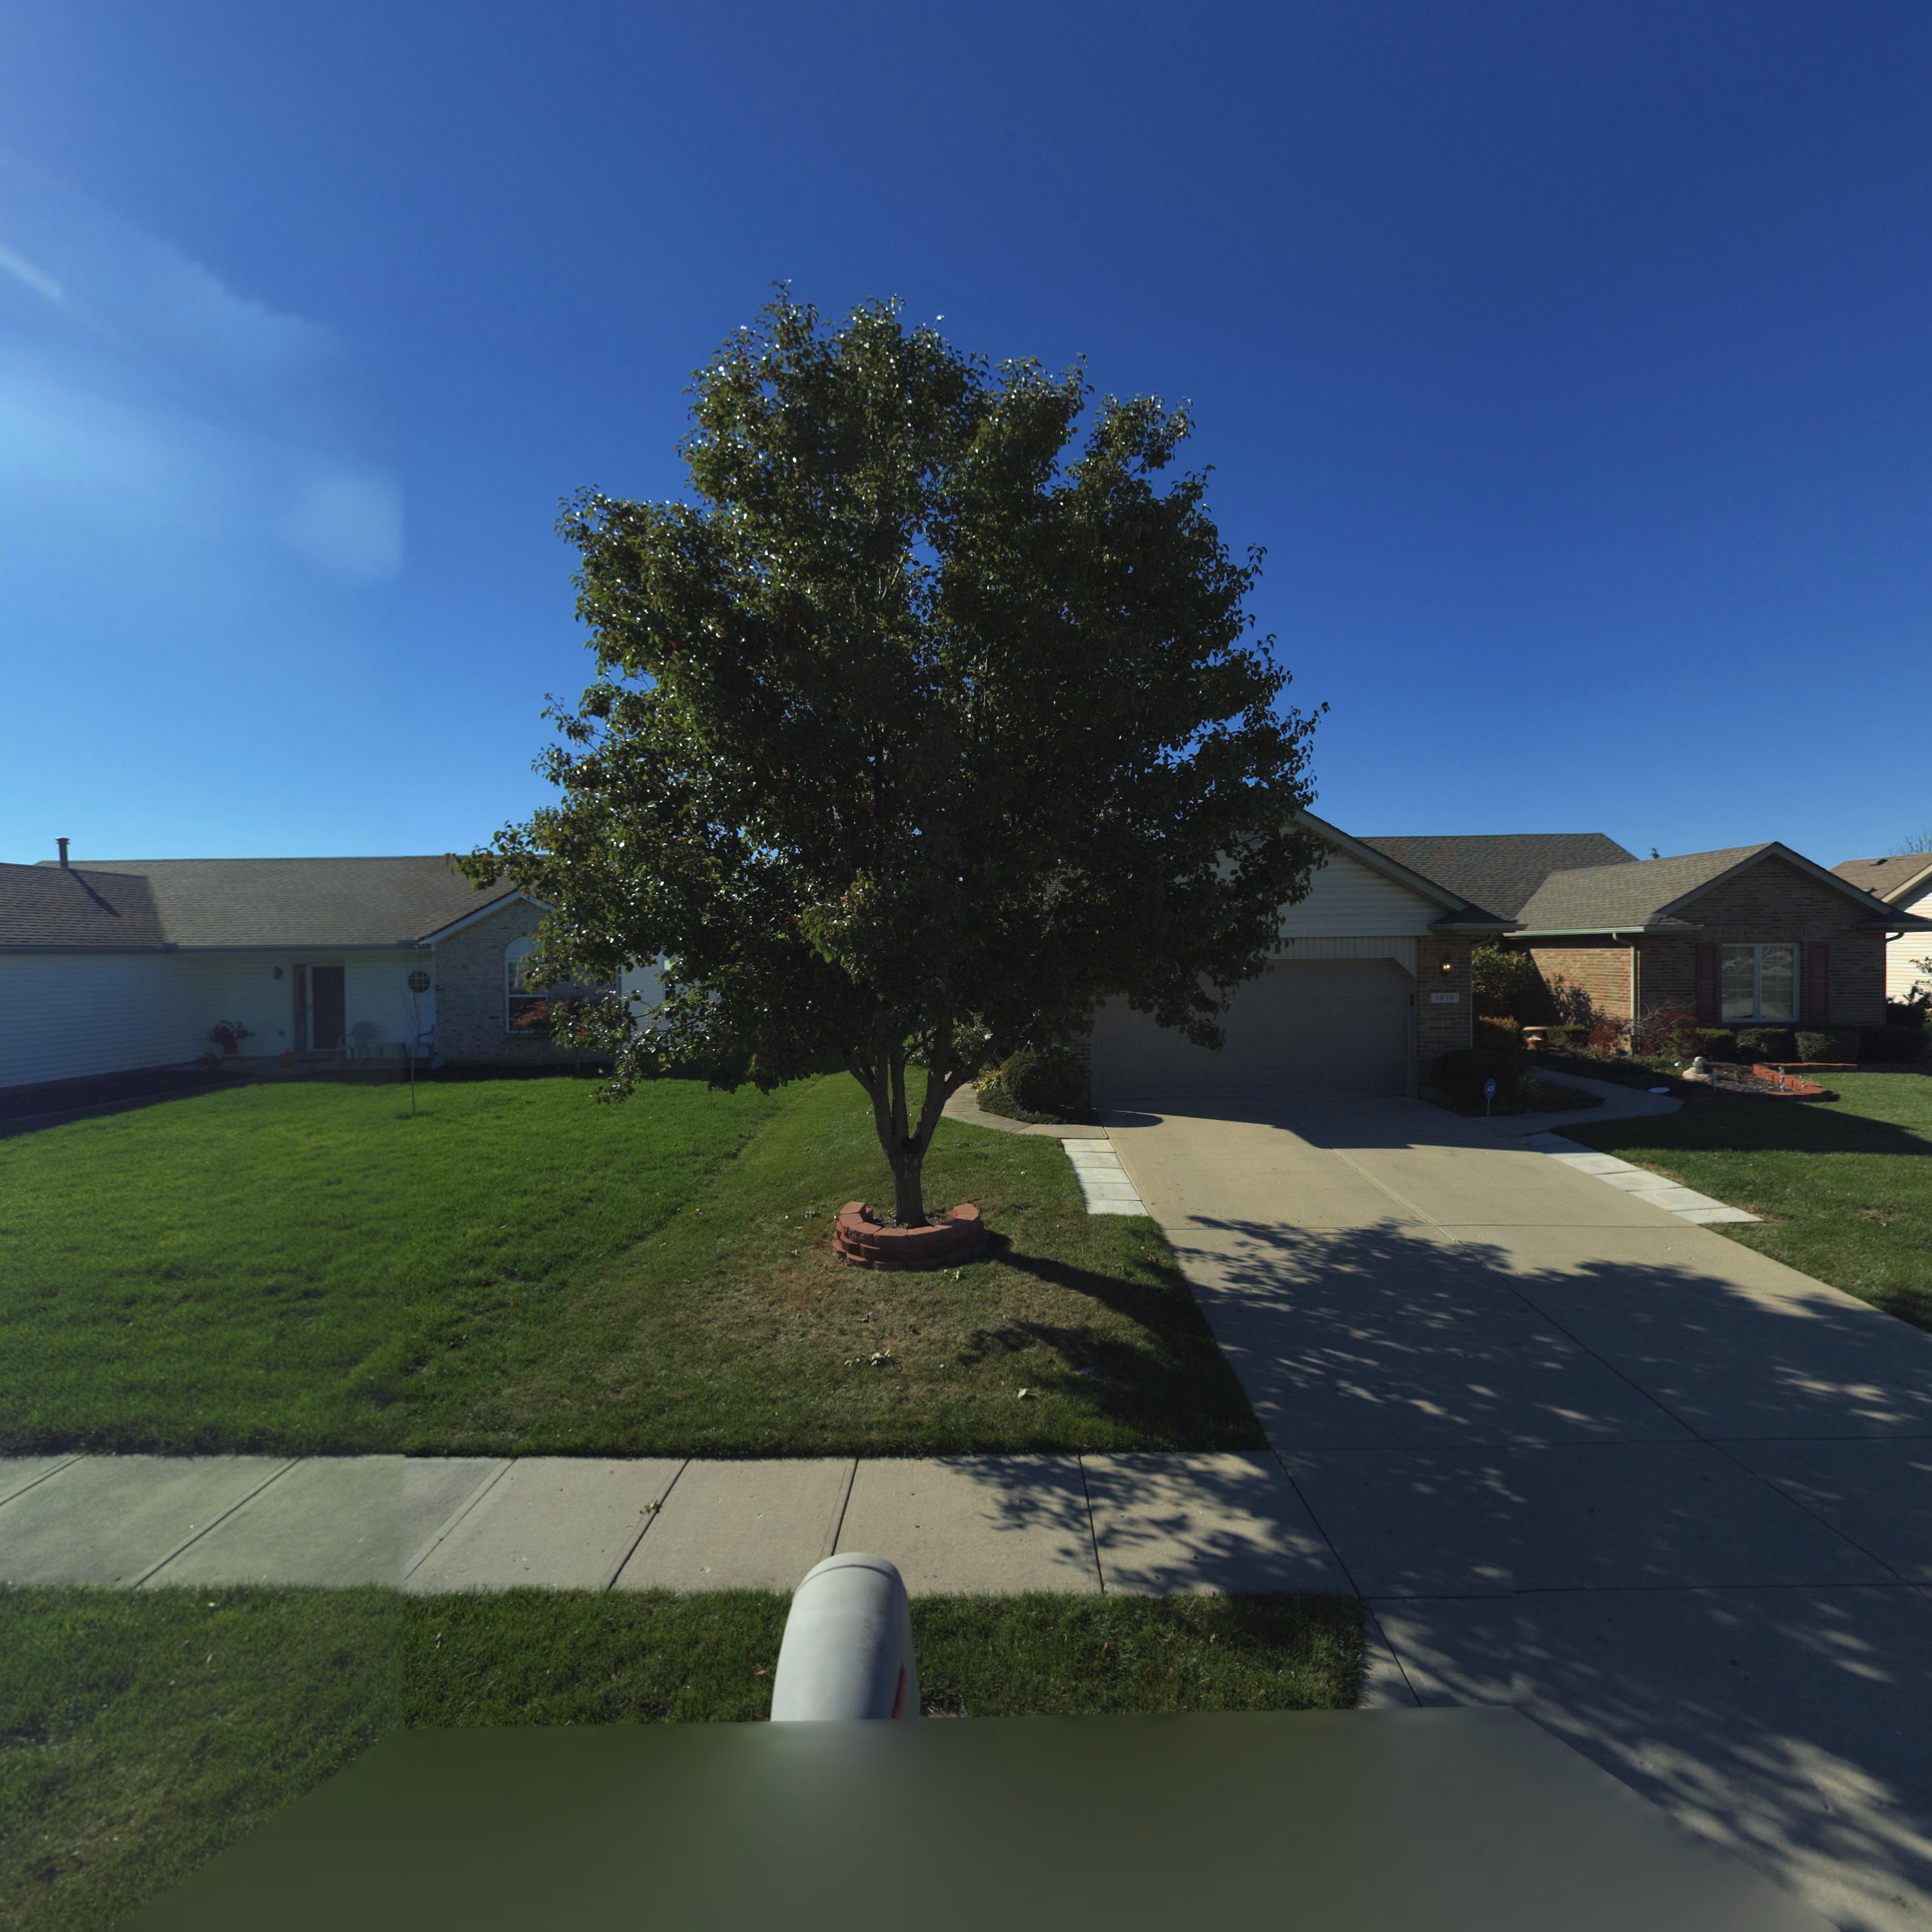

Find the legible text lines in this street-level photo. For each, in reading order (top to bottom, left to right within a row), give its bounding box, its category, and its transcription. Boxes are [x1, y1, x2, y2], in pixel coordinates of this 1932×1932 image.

[1435, 994, 1455, 1002] StreetNumber: 1030